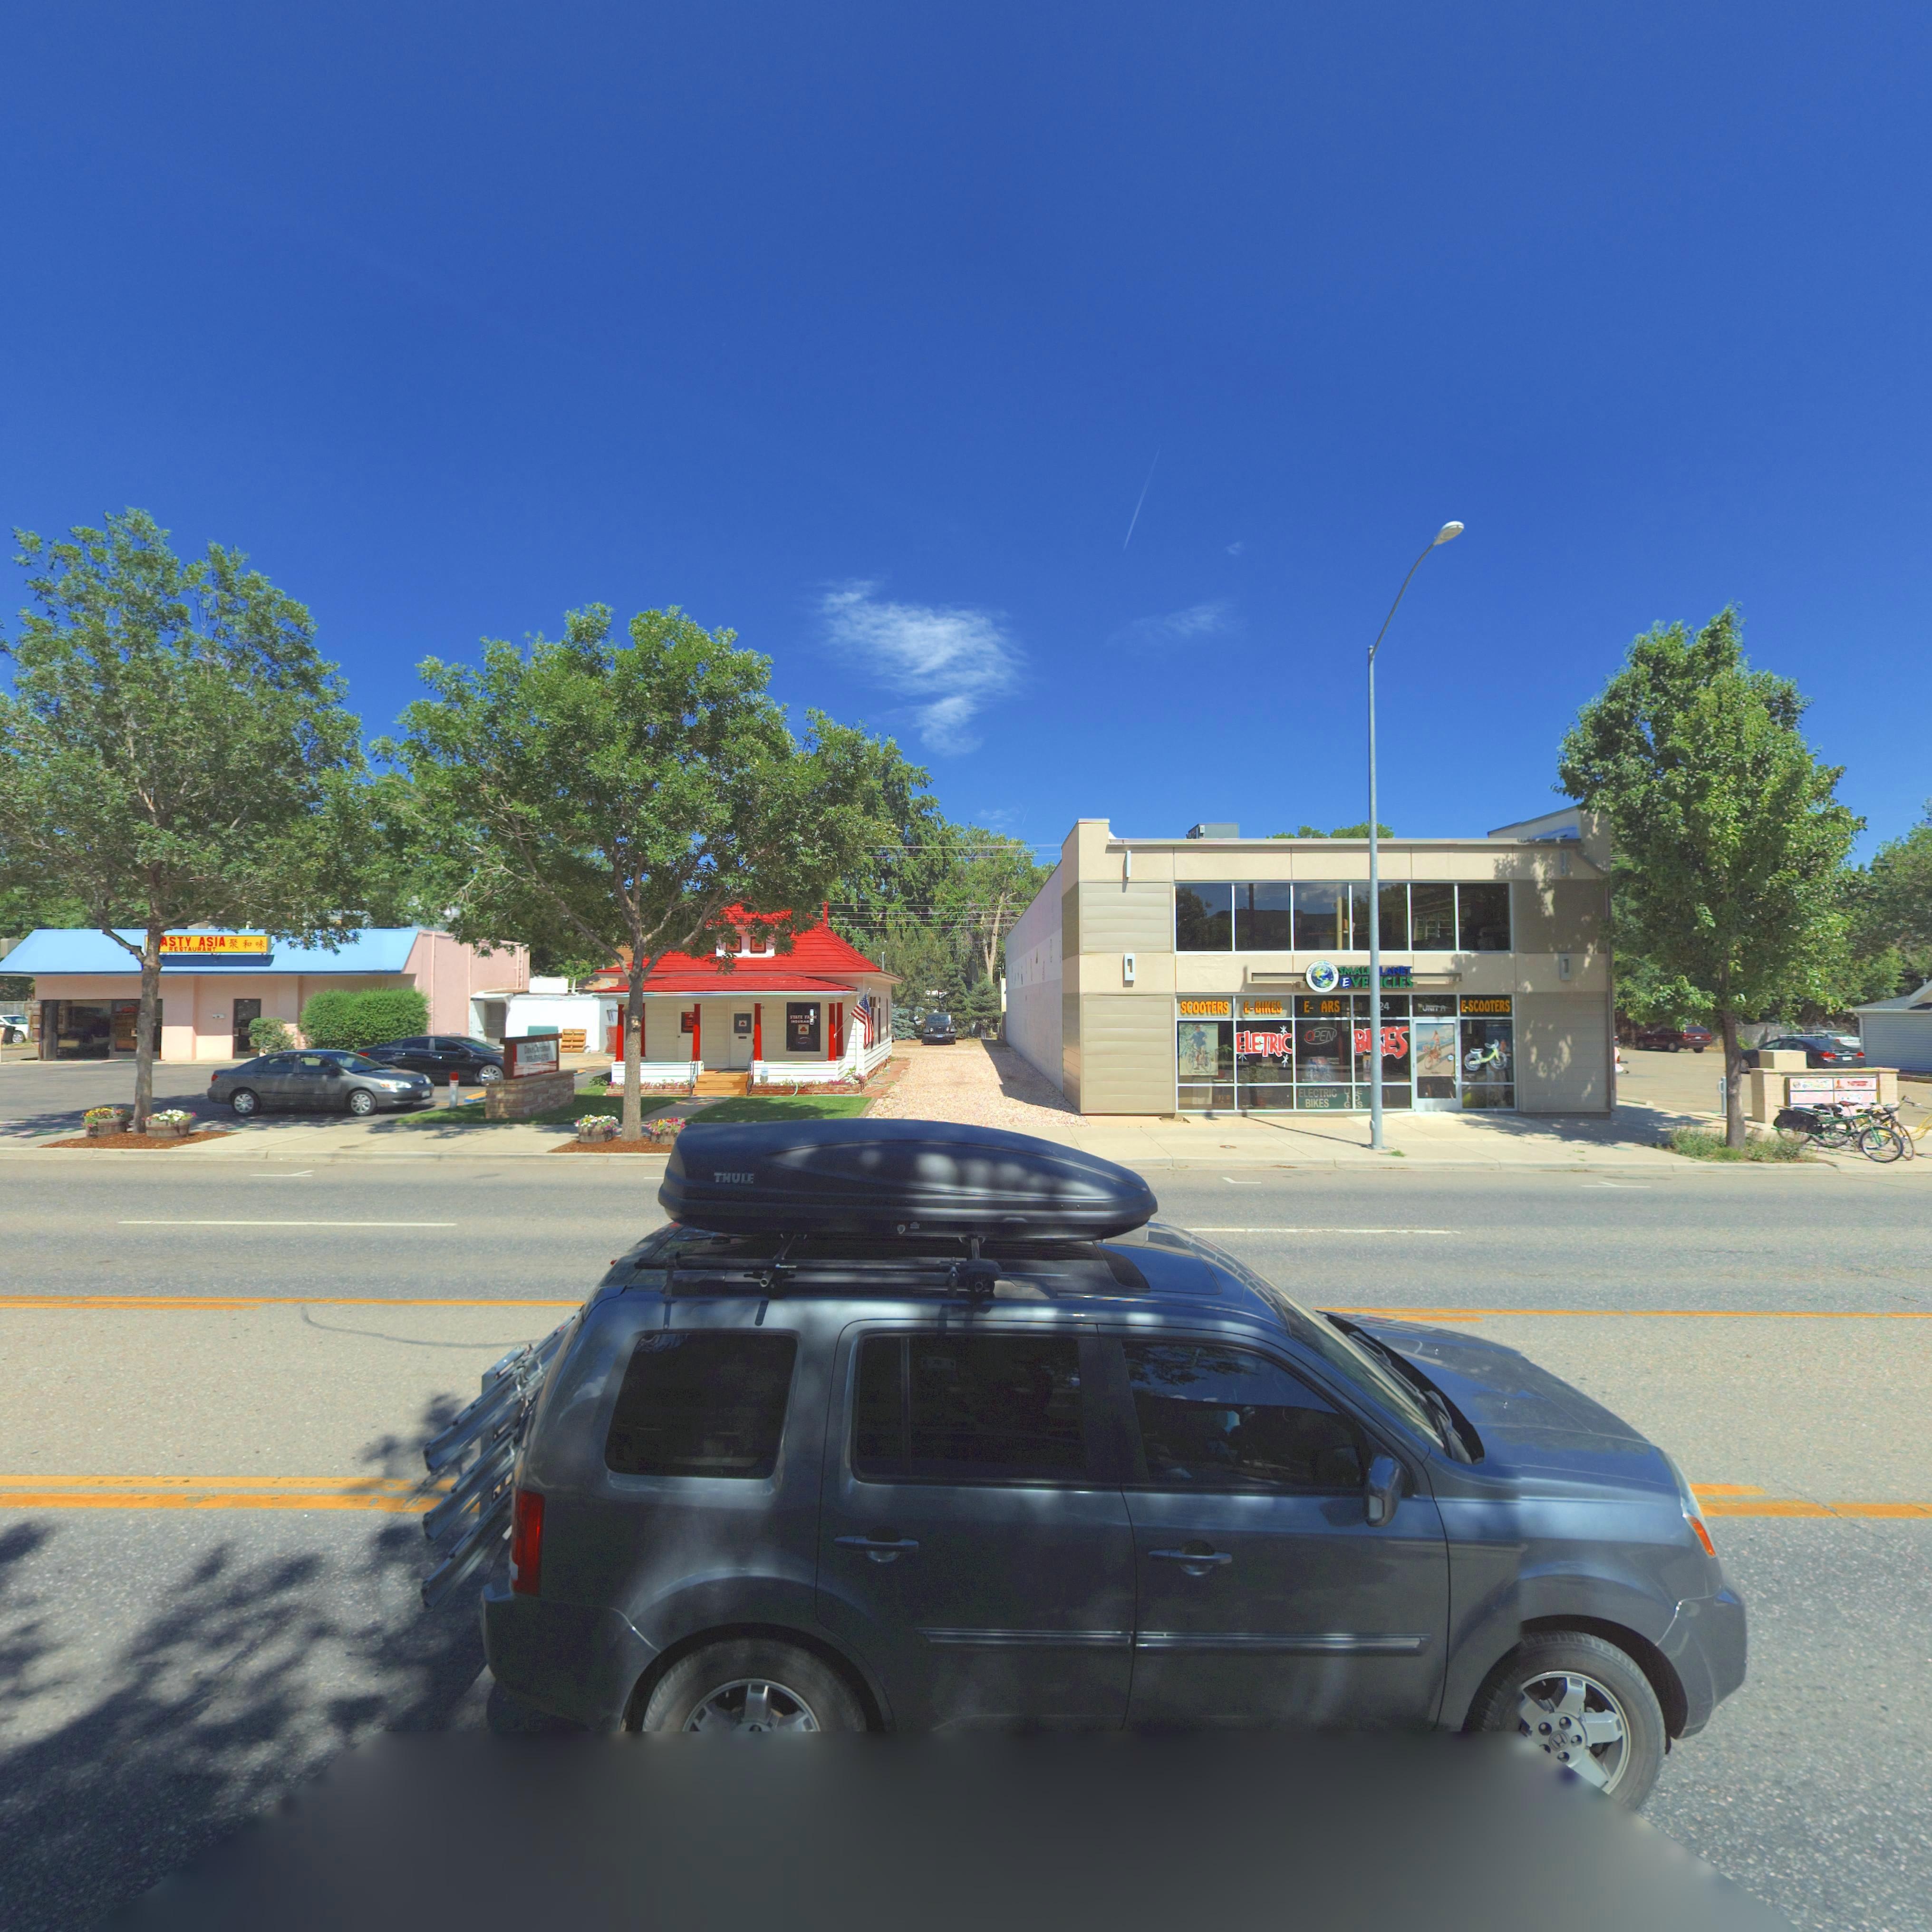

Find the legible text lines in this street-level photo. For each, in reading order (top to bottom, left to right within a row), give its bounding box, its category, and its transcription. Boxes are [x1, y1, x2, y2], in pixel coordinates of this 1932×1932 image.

[160, 936, 226, 947] BusinessName: ASTY ASIA
[168, 946, 216, 952] BusinessName: R*STAURANT
[1307, 960, 1338, 975] BusinessName: SM**LPLA***********
[1338, 966, 1412, 976] BusinessName: SMALL*LANET
[1342, 976, 1413, 988] BusinessName: EVE*ICLES
[1379, 1002, 1390, 1011] StreetNumber: *4
[1421, 1005, 1446, 1012] SecondaryUnitDesignator: UNIT A
[791, 1020, 815, 1023] BusinessName: INSURAN**
[790, 1014, 817, 1019] BusinessName: STATE FA*M